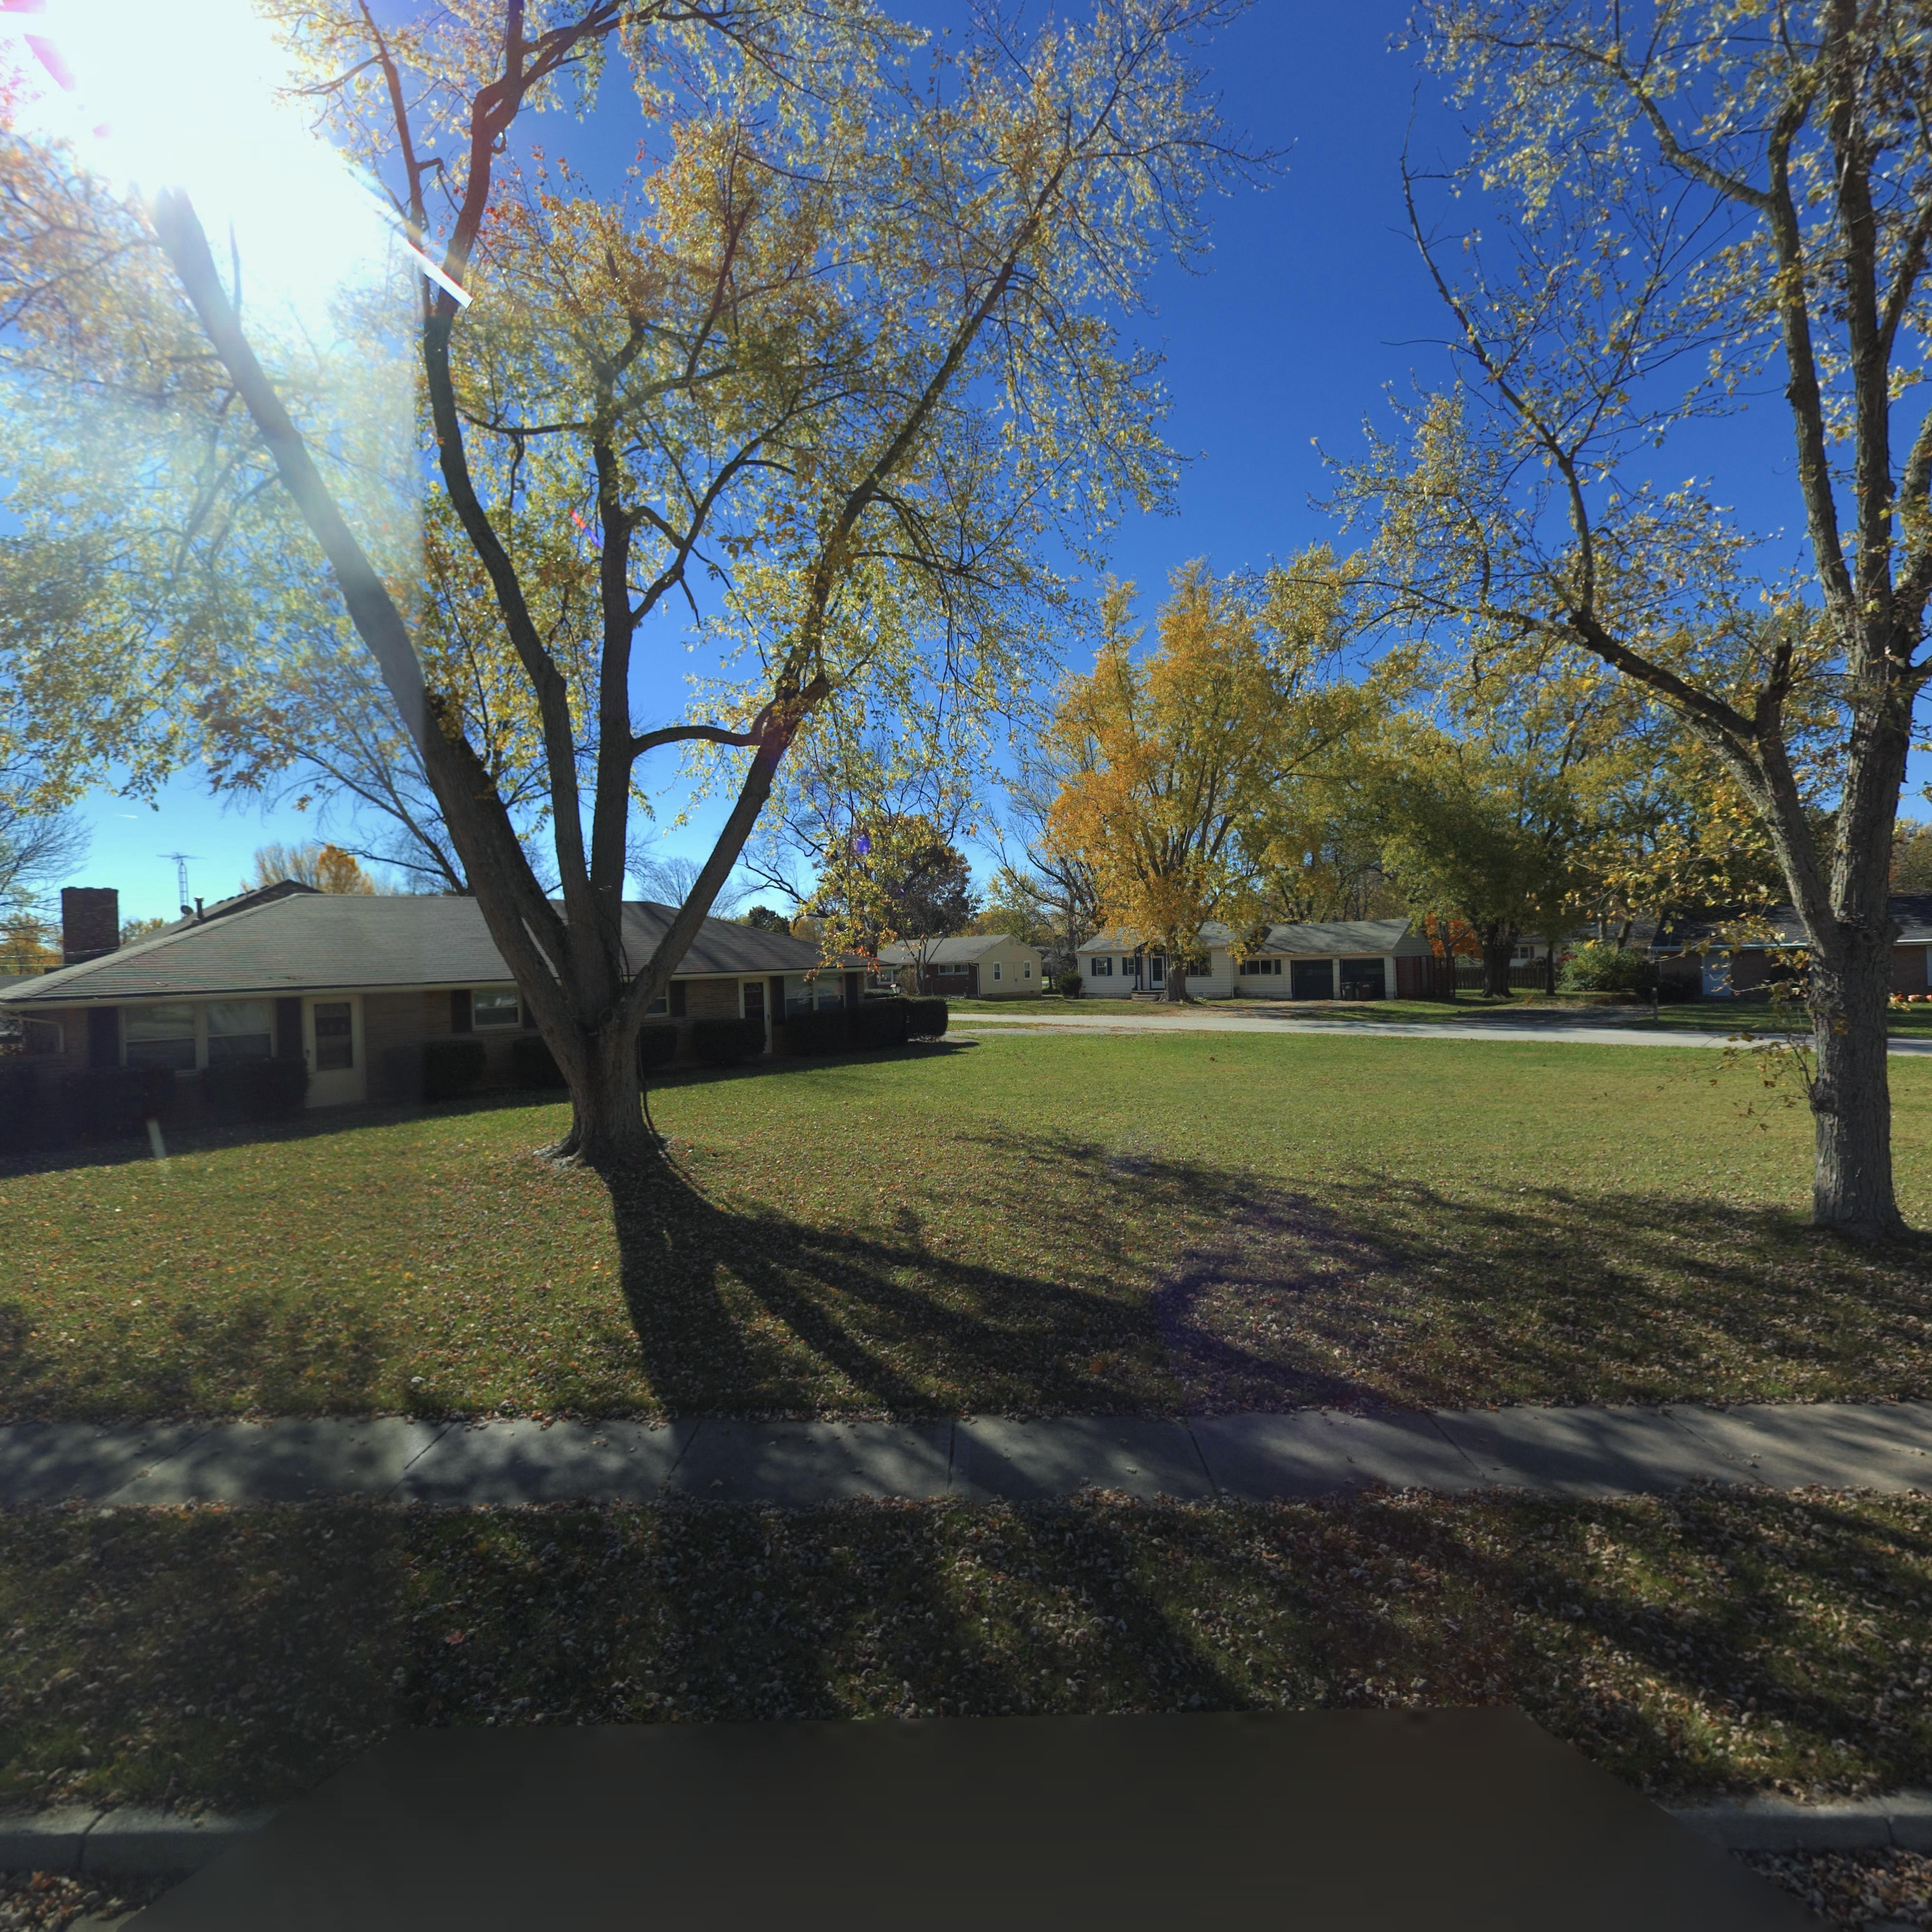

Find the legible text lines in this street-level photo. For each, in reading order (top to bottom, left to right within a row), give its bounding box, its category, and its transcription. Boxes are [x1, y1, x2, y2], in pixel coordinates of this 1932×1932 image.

[749, 997, 760, 1004] StreetNumber: 07
[319, 1023, 347, 1034] StreetNumber: 605